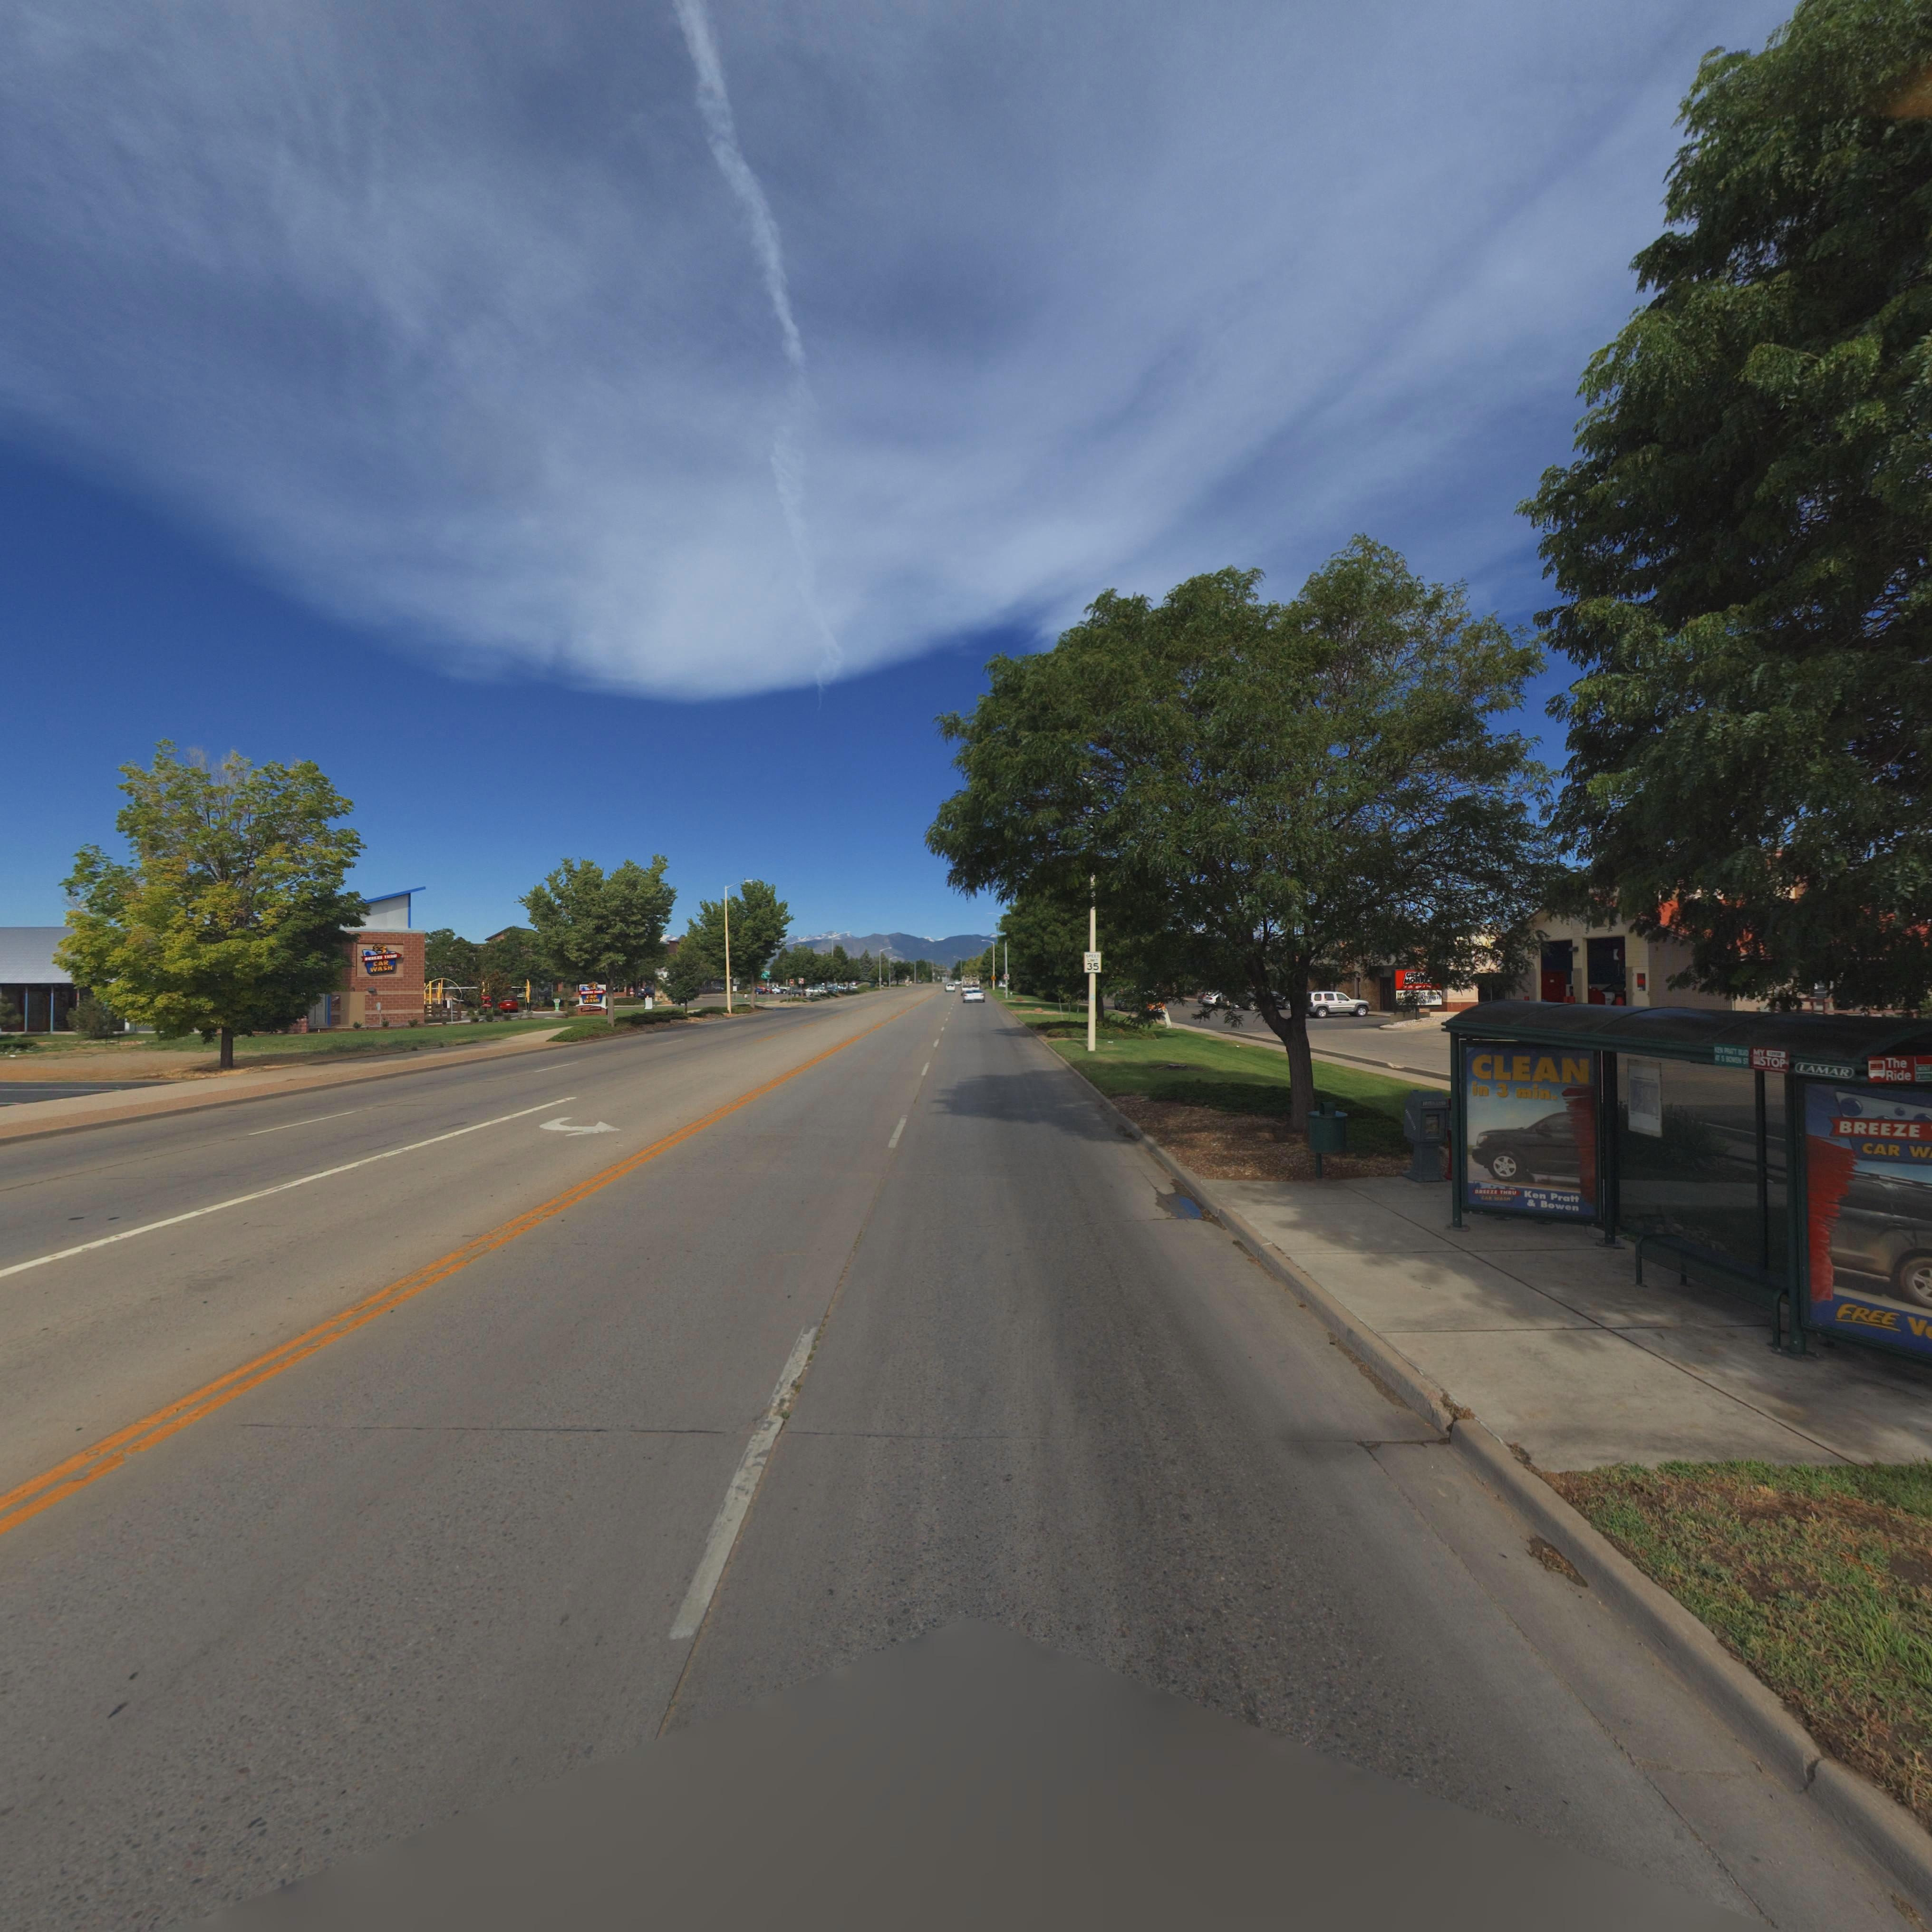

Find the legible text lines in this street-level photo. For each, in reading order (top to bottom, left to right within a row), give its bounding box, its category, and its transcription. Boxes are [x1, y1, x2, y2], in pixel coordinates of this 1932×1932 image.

[365, 954, 397, 960] BusinessName: *R**** T**U
[373, 959, 388, 966] BusinessName: CAR
[369, 965, 393, 972] BusinessName: WASH
[1406, 972, 1425, 978] BusinessName: GR**
[1403, 977, 1425, 984] BusinessName: MON*
[580, 990, 603, 994] BusinessName: ***ZZE *****
[586, 994, 597, 998] BusinessName: CAR
[583, 998, 599, 1003] BusinessName: *ASH